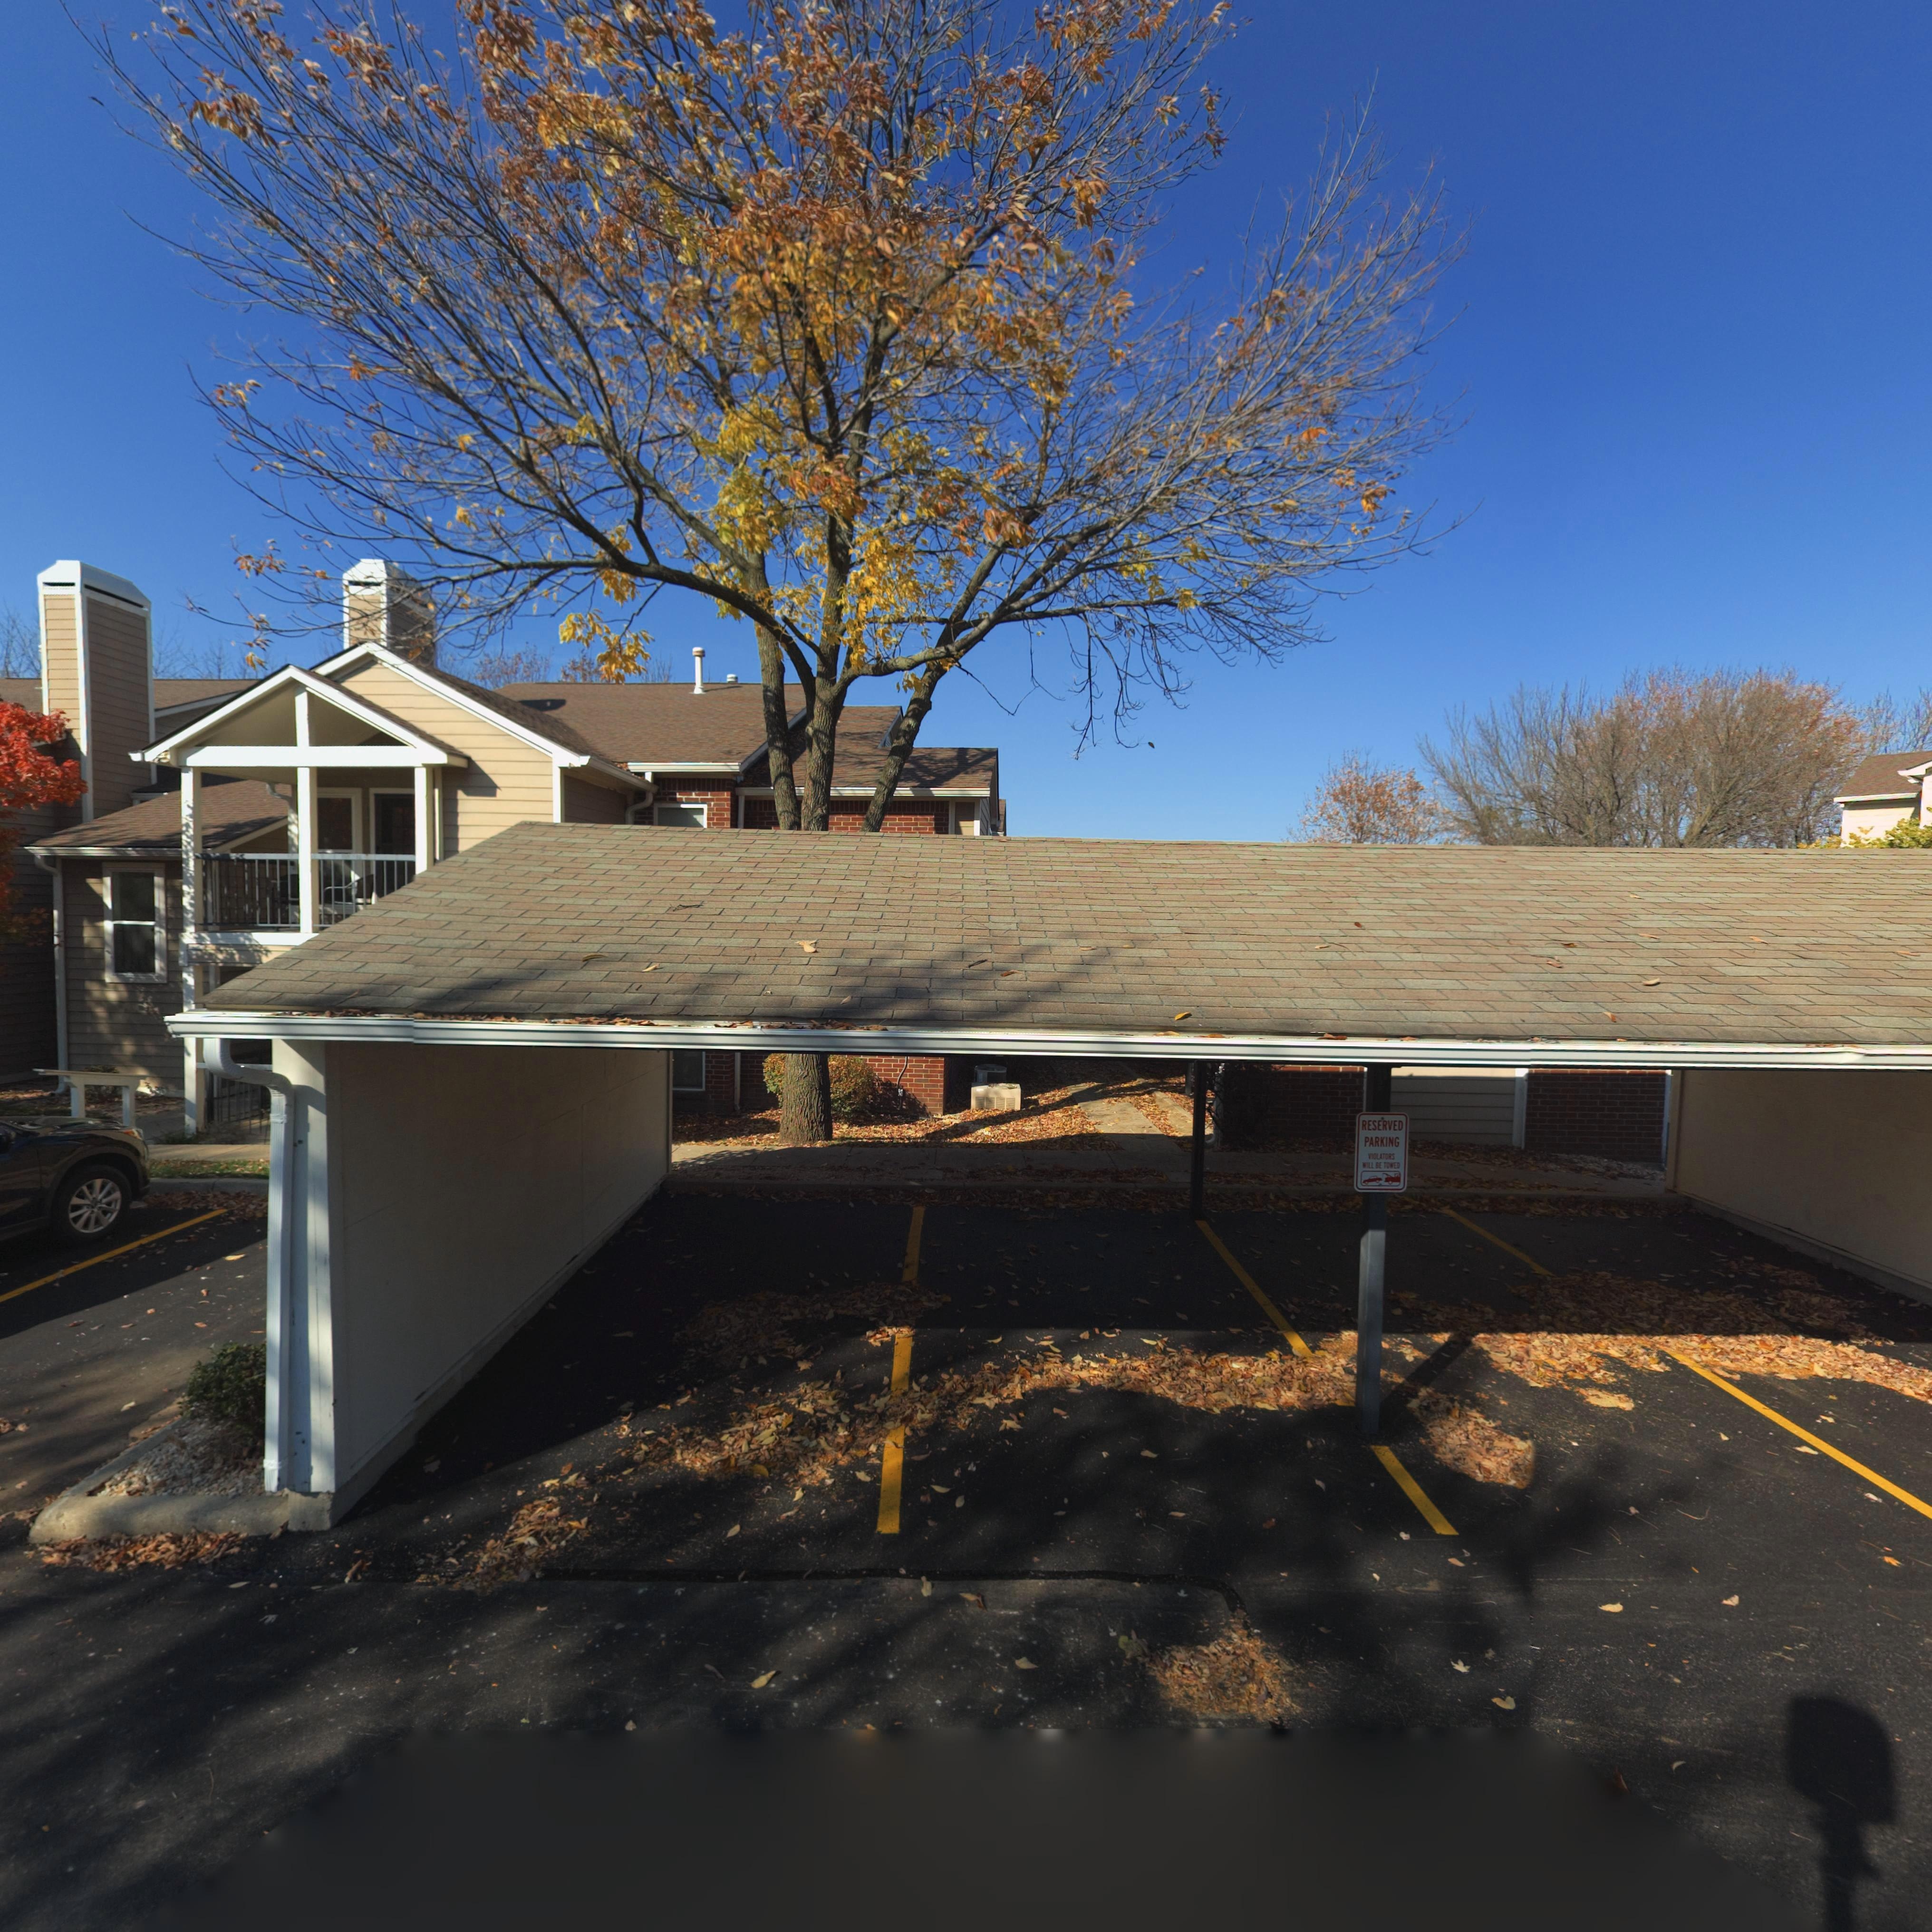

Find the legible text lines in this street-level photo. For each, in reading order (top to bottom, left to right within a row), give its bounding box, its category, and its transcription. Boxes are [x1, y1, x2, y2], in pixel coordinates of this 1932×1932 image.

[1361, 1118, 1405, 1132] None: RESERVED
[1363, 1135, 1401, 1149] None: PARKING
[1367, 1152, 1396, 1161] None: VIOLATORS
[1362, 1161, 1402, 1170] None: *ILL BE TOWED